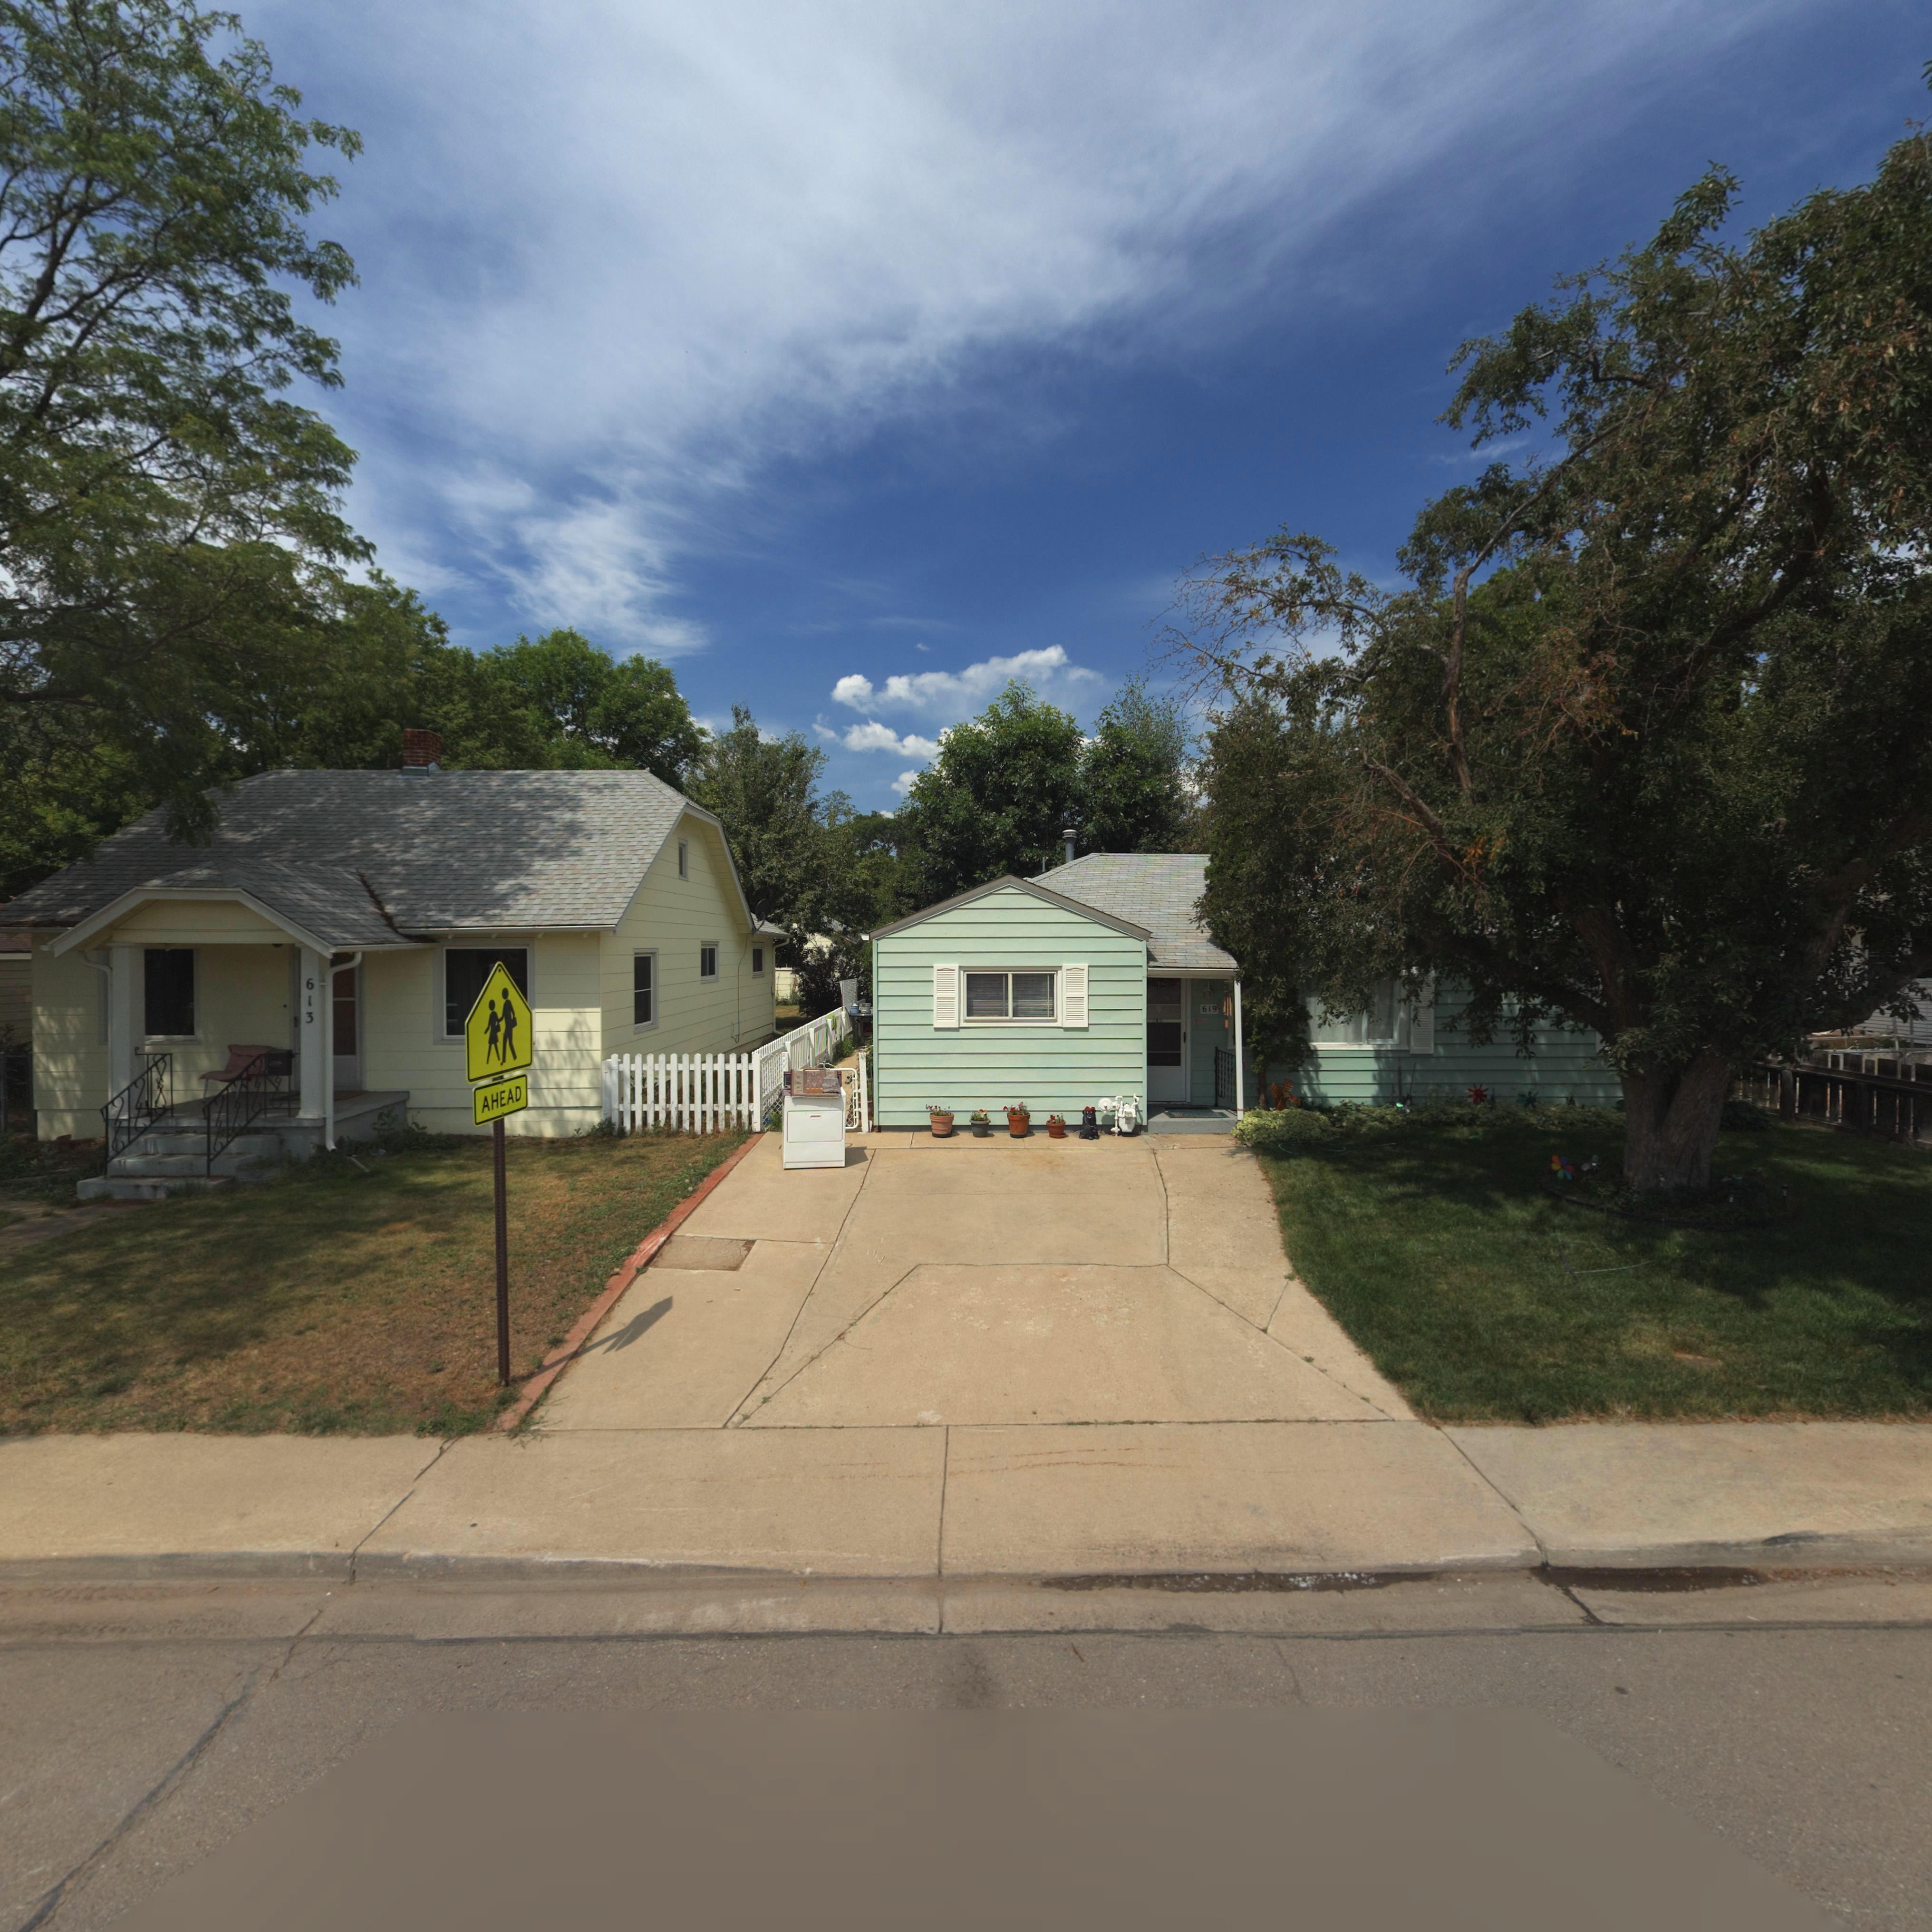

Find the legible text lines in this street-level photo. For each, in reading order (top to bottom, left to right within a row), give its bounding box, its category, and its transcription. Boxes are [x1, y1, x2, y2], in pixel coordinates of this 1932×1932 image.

[305, 977, 314, 1024] StreetNumber: 613
[1202, 1005, 1217, 1012] StreetNumber: 619